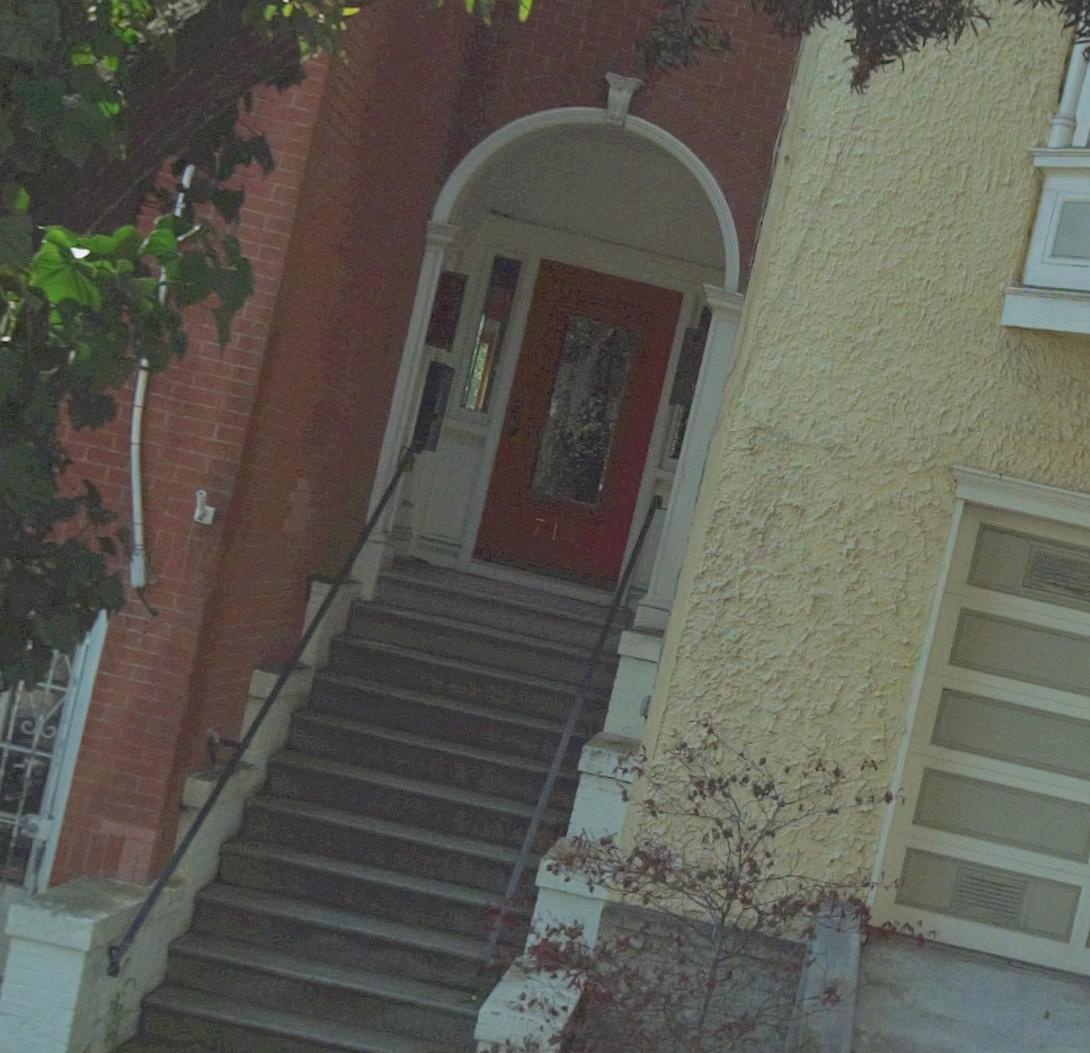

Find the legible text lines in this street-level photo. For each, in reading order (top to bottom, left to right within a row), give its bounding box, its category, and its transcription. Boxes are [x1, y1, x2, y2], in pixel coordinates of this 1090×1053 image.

[529, 515, 562, 543] StreetNumber: 71